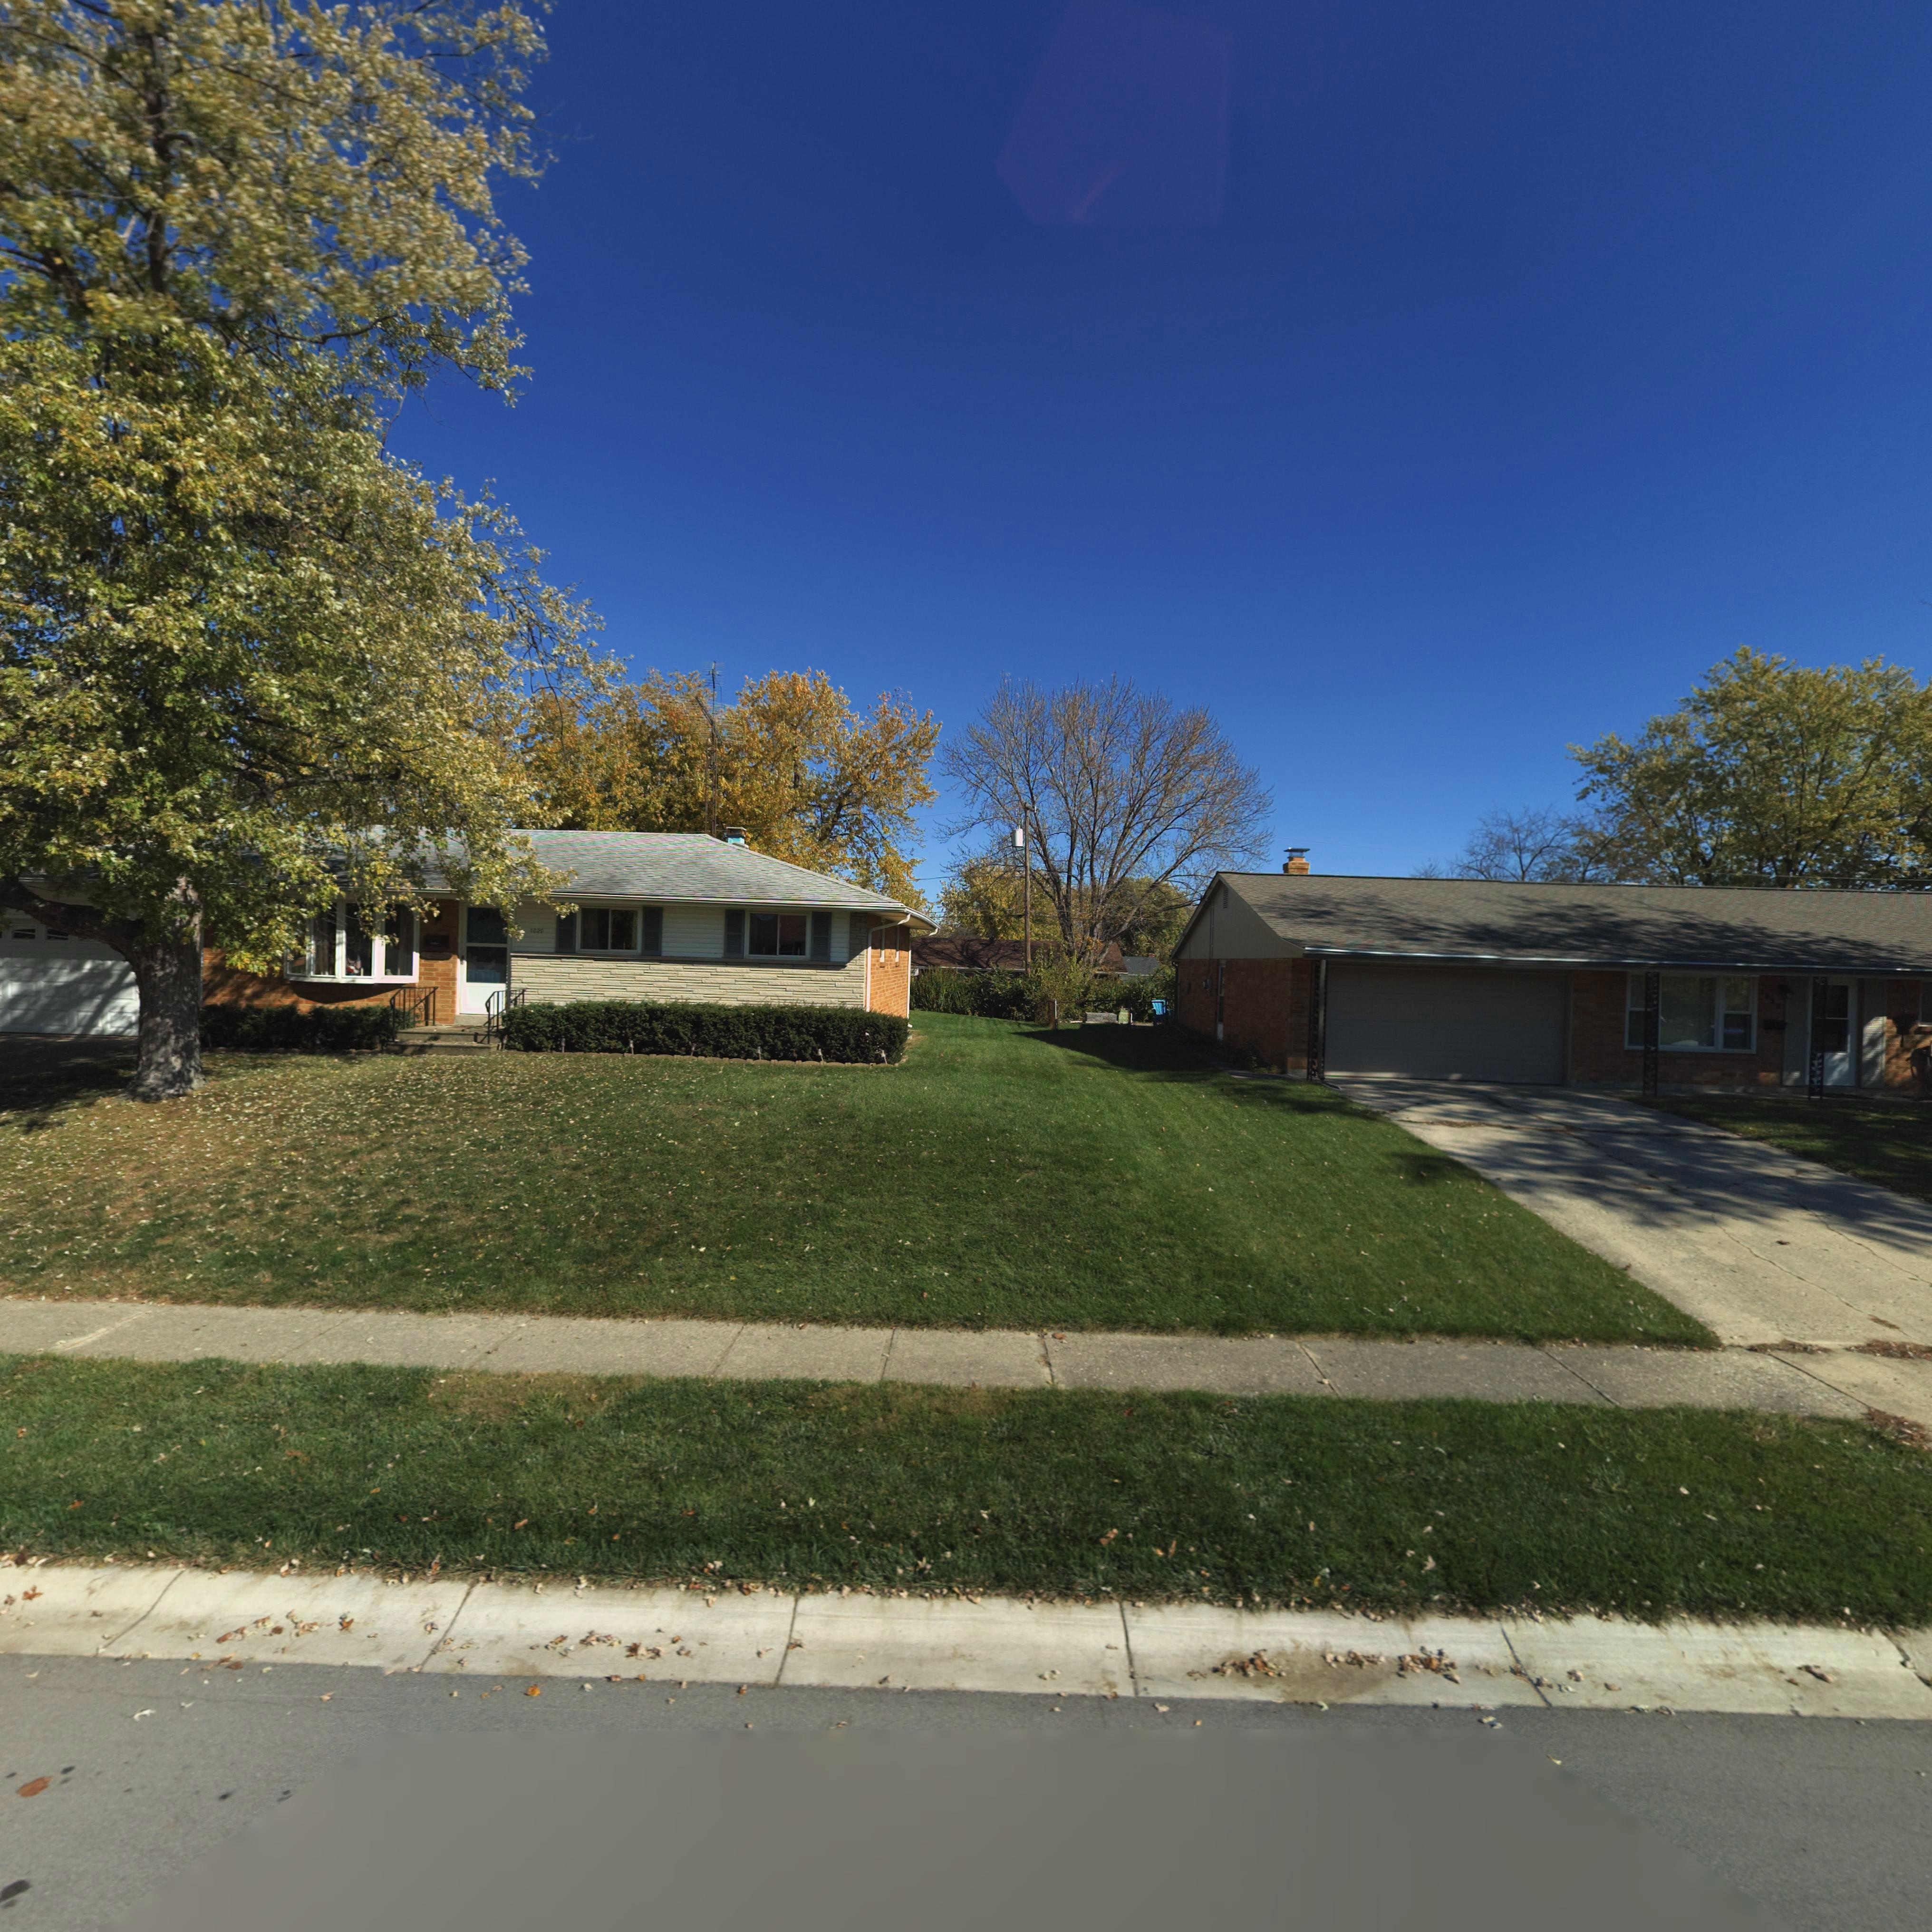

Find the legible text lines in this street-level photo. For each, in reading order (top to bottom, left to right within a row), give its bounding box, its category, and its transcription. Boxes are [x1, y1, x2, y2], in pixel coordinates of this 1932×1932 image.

[530, 927, 545, 934] StreetNumber: 1020